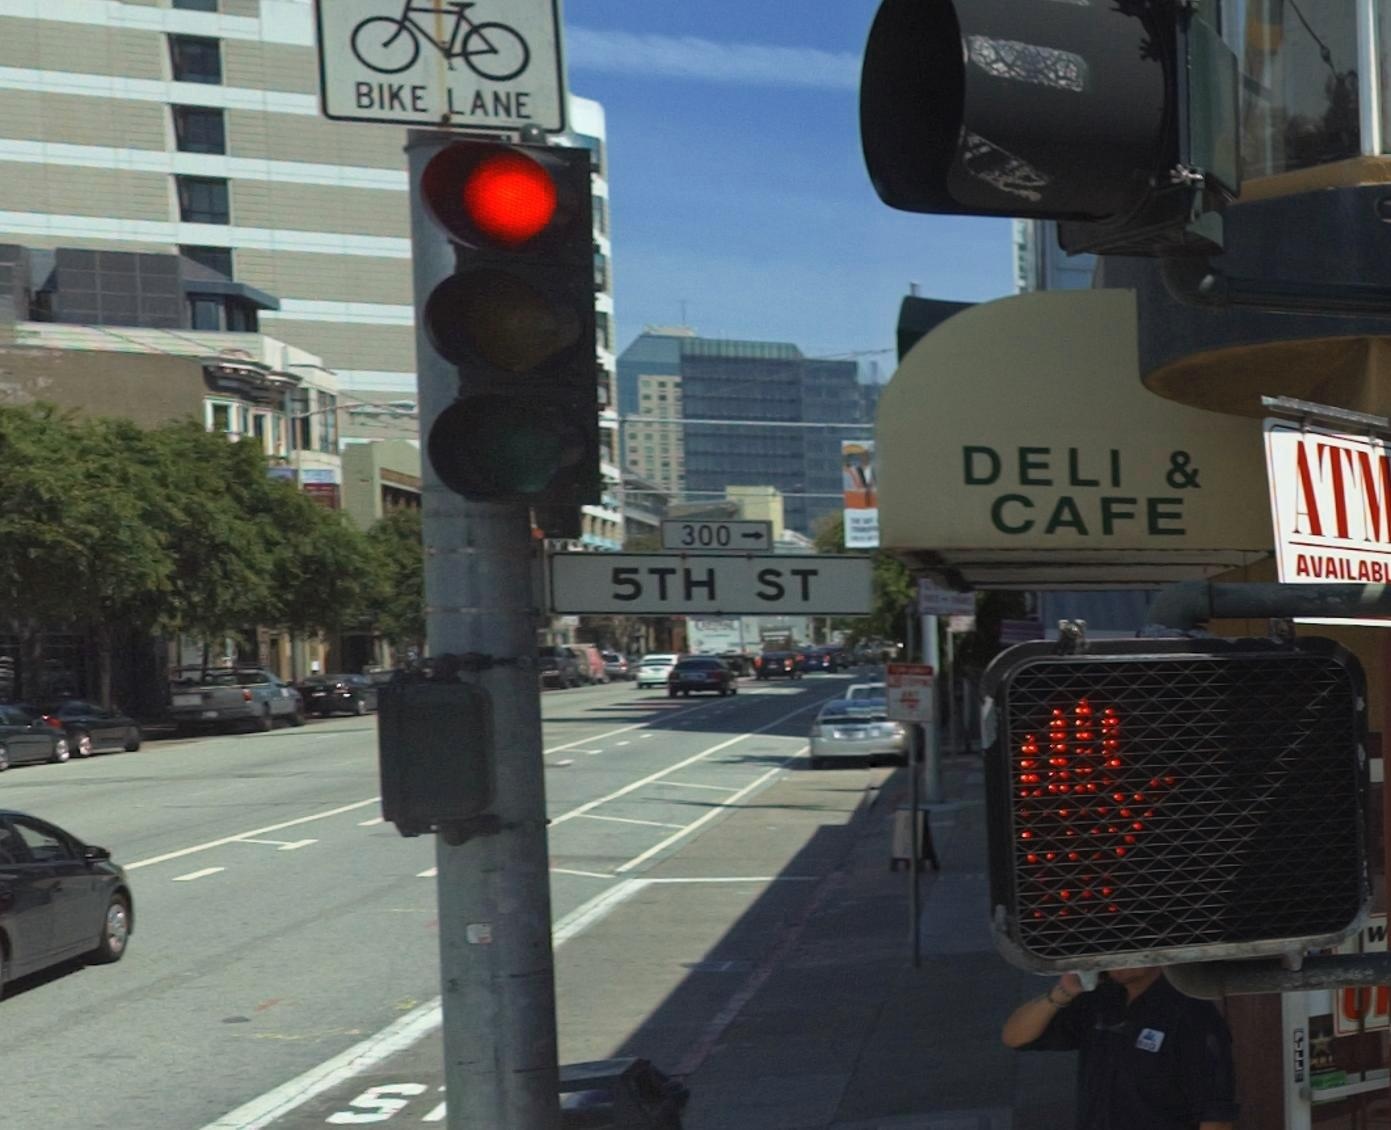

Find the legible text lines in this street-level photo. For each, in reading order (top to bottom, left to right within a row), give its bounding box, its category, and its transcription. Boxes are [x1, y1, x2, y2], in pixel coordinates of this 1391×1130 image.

[355, 80, 537, 122] None: BIKE LANE
[959, 443, 1207, 492] None: DELI &
[1286, 435, 1357, 541] None: AT
[680, 521, 767, 546] StreetNumberRange: 300->
[987, 493, 1189, 536] None: CAFE
[603, 563, 821, 607] StreetName: 5TH ST
[1294, 553, 1384, 584] None: AVAILAB
[1365, 918, 1387, 947] None: W
[1293, 1026, 1305, 1072] None: PULL
[1309, 1053, 1336, 1070] None: PULL
[320, 1080, 434, 1124] None: S